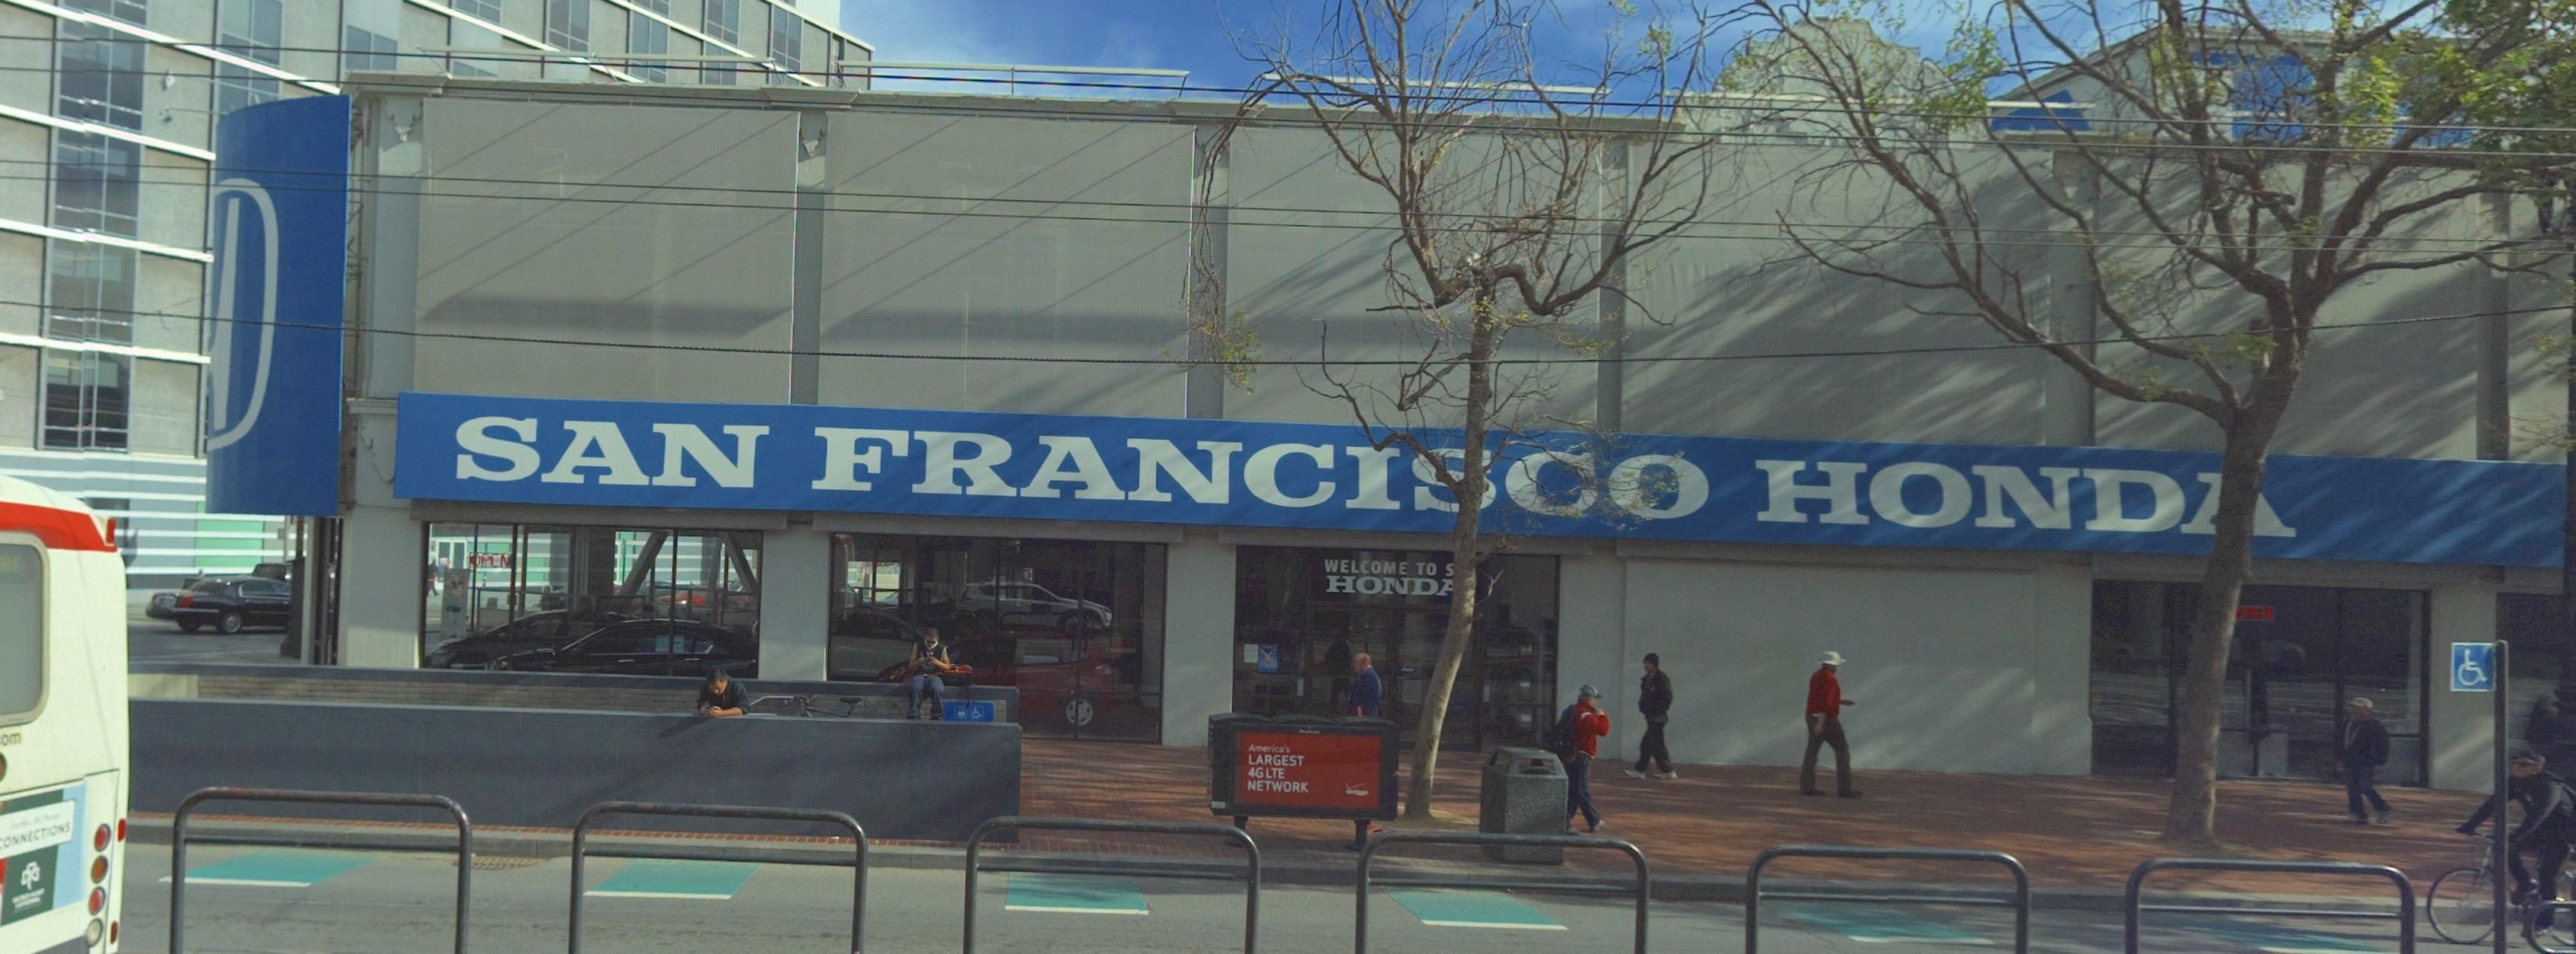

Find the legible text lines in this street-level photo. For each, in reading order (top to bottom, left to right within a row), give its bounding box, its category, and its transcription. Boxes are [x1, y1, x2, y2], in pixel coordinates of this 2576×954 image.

[448, 409, 2314, 545] BusinessName: SAN FRANCI*CO HOND*
[469, 551, 513, 569] None: *PEN
[1321, 556, 1458, 579] None: WELCOME TO S
[1323, 572, 1441, 598] BusinessName: HOND
[0, 730, 24, 749] None: om
[1244, 741, 1292, 755] None: America's
[1246, 752, 1307, 768] None: LARGEST
[1244, 765, 1288, 781] None: 4G LTE
[1246, 778, 1311, 795] None: NETWORK
[1, 818, 73, 853] None: ONNECTIONS